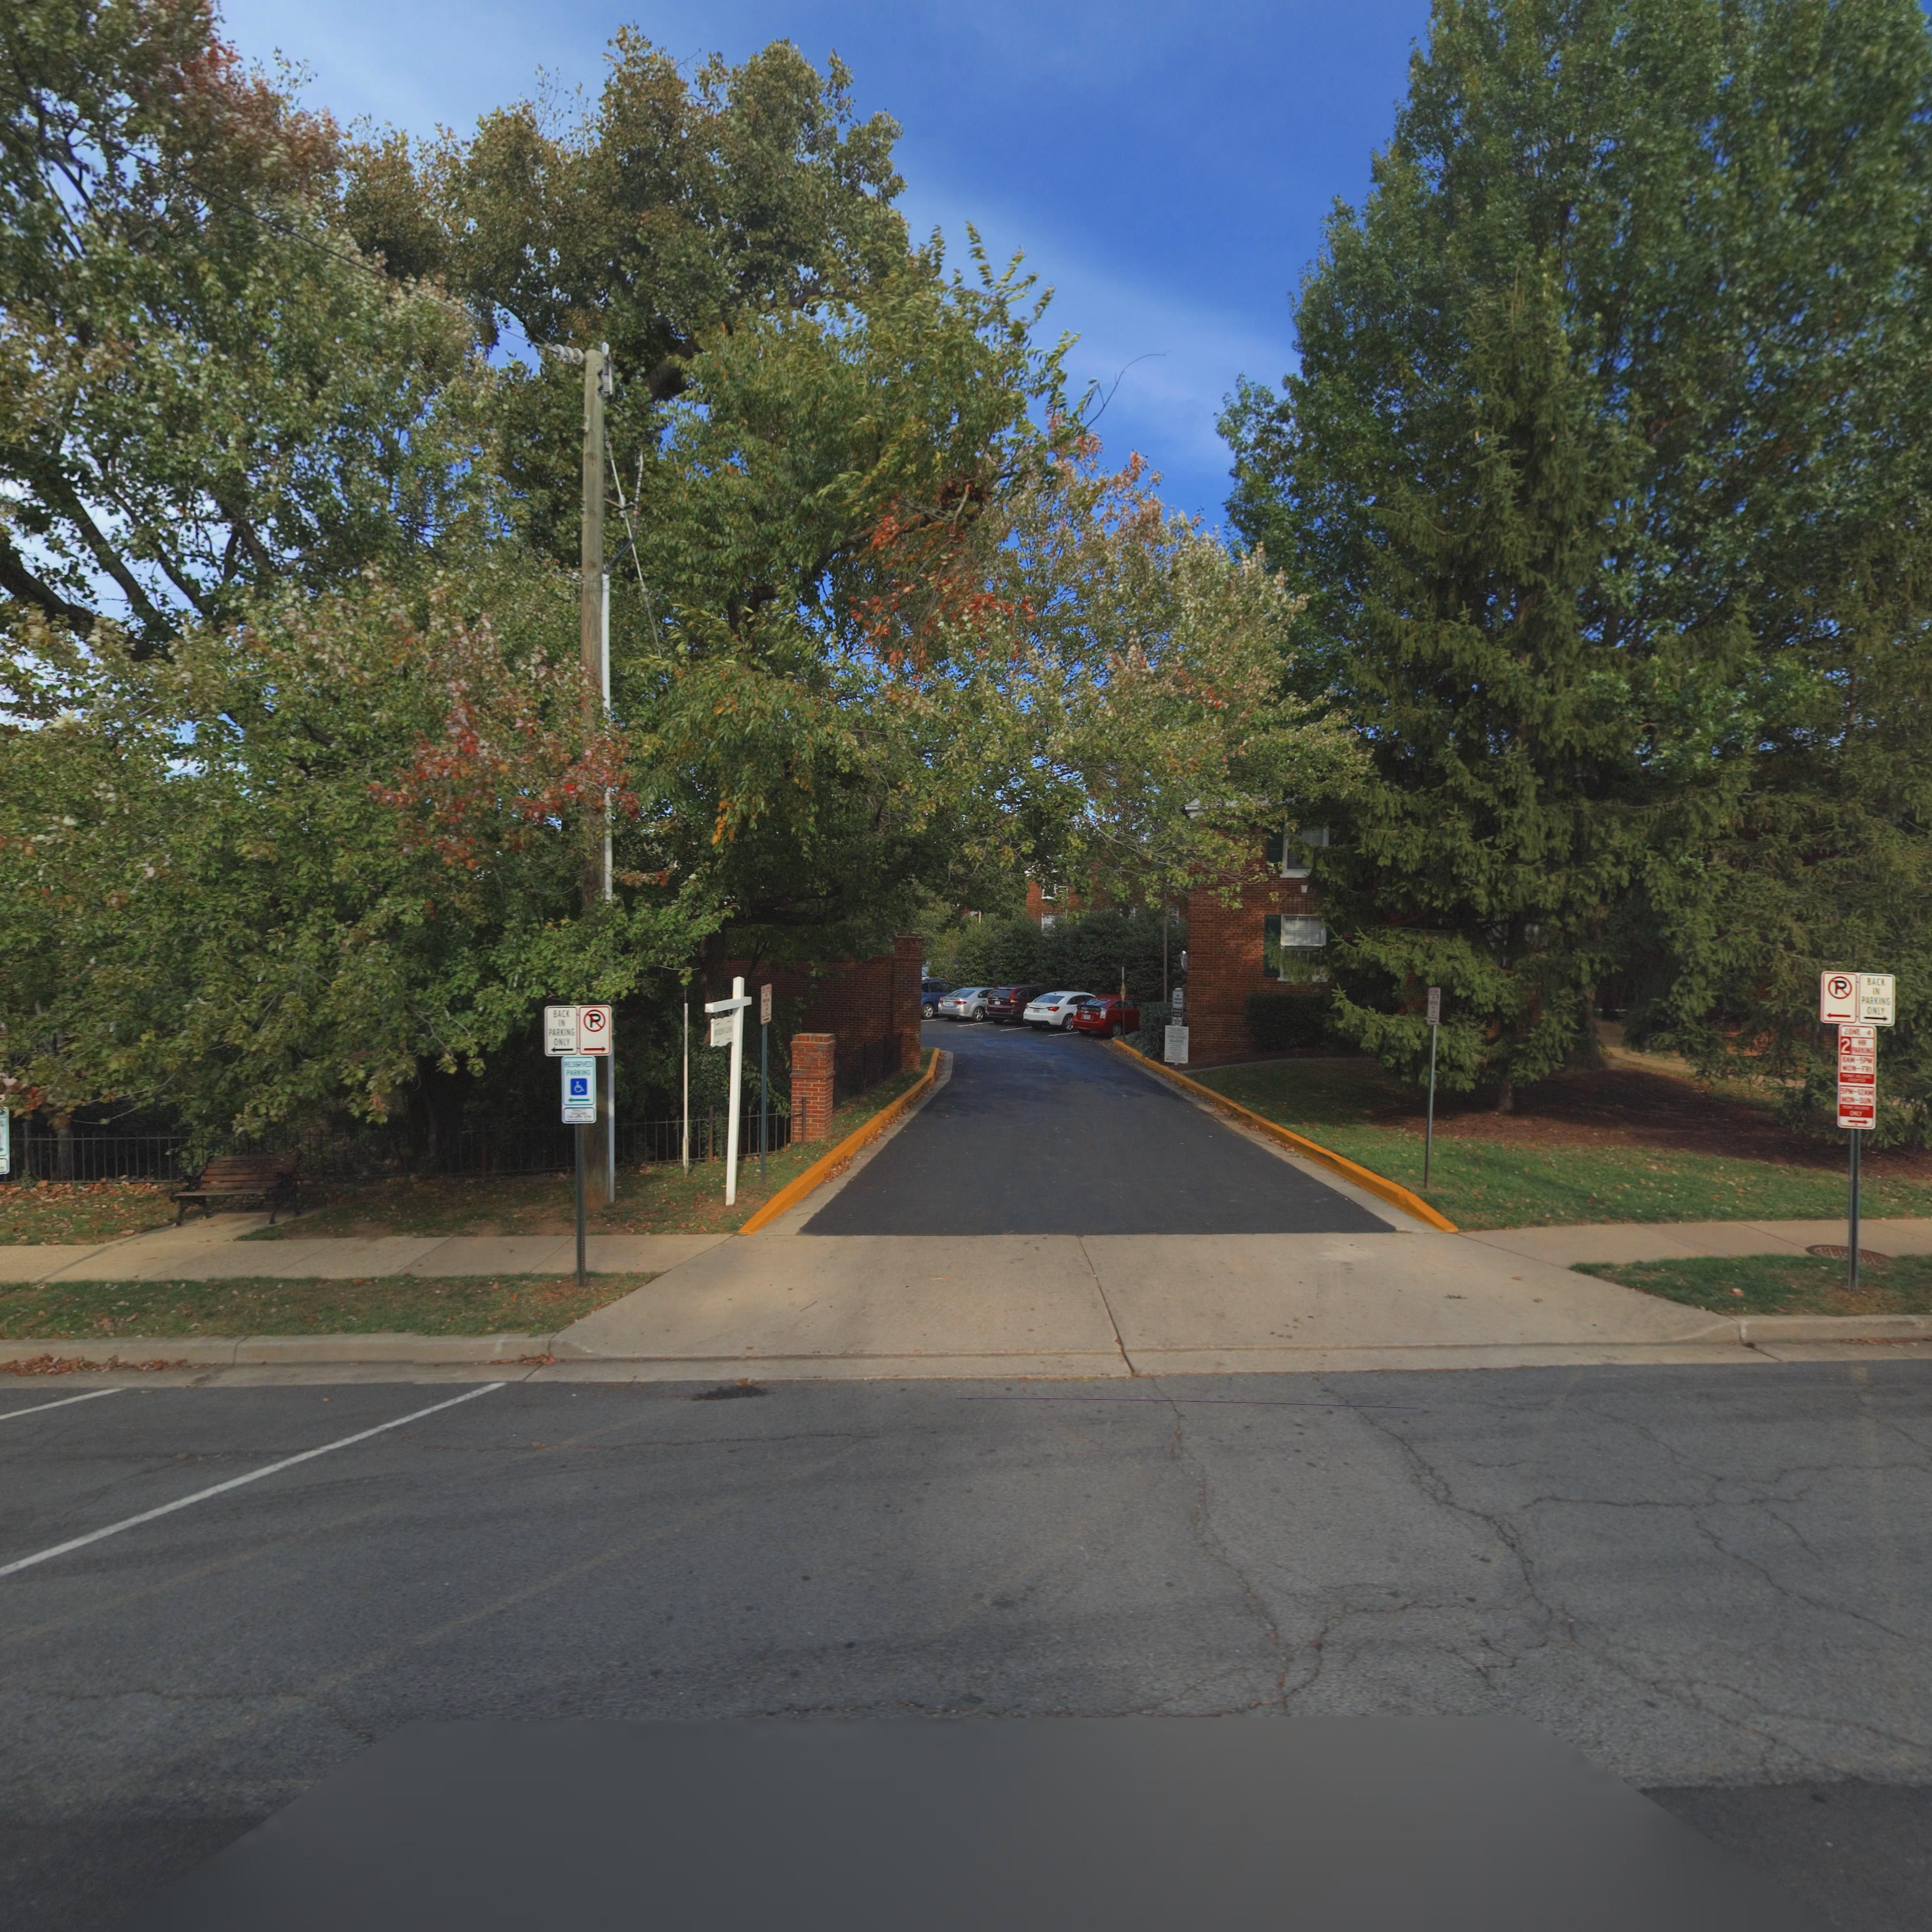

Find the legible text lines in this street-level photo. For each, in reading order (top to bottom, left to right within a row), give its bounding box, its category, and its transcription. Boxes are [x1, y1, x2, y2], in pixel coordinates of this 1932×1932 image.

[1867, 977, 1885, 987] None: BACK
[1872, 987, 1881, 995] None: IN
[1861, 996, 1892, 1005] None: PARKING
[553, 1010, 570, 1018] None: BACK
[1867, 1006, 1886, 1015] None: ONLY
[558, 1019, 566, 1027] None: IN
[548, 1028, 576, 1036] None: PARKING
[1844, 1027, 1872, 1036] None: ZONE 4
[553, 1038, 570, 1046] None: ONLY
[1840, 1038, 1851, 1054] None: 2
[1857, 1038, 1866, 1046] None: HR
[1851, 1046, 1874, 1055] None: PARKING
[1842, 1055, 1873, 1064] None: *AM-5PM
[563, 1061, 593, 1068] None: RESE*VED
[1842, 1064, 1873, 1072] None: MON-SUN
[566, 1069, 591, 1076] None: PARKING
[1840, 1087, 1874, 1096] None: 5PM-12AM
[1841, 1096, 1872, 1104] None: MON-SUN